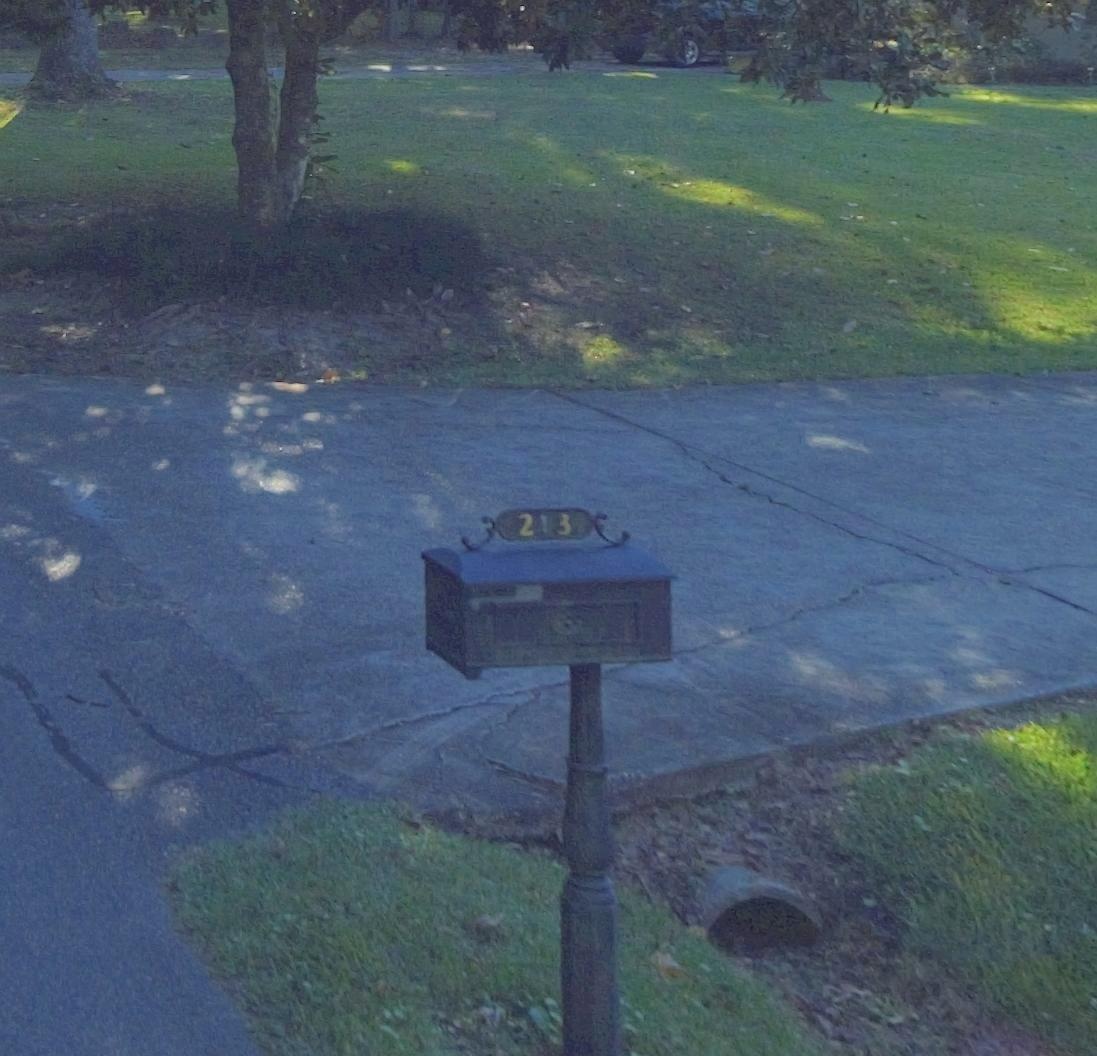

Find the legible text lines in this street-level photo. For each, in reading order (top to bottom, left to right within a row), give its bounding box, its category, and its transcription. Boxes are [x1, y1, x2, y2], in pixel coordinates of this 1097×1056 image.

[515, 510, 574, 539] StreetNumber: 213